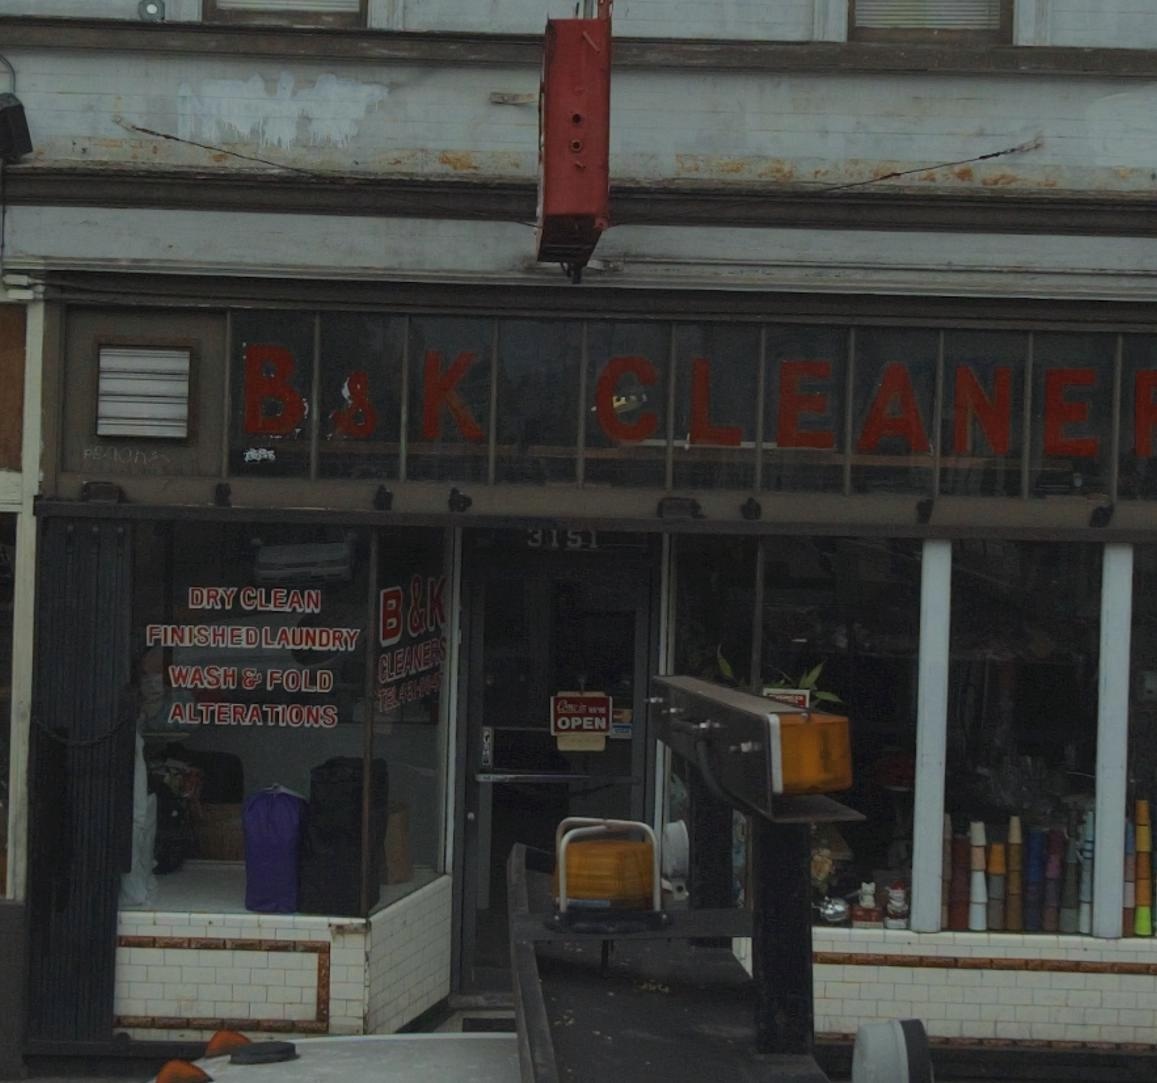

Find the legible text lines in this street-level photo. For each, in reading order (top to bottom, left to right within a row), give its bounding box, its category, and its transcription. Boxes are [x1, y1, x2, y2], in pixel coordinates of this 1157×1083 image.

[241, 339, 1105, 462] BusinessName: B&K CLEANE
[524, 526, 602, 551] StreetNumber: 3151
[186, 585, 324, 613] None: DRY CLEAN
[378, 573, 450, 644] BusinessName: B&K
[144, 622, 362, 651] None: FINISHED LAUNDRY
[377, 634, 447, 685] BusinessName: CLEANERS
[164, 664, 336, 694] None: WASH & FOLD
[164, 699, 341, 729] None: ALTERATIONS
[555, 715, 608, 731] None: OPEN
[481, 728, 491, 766] None: PUSH